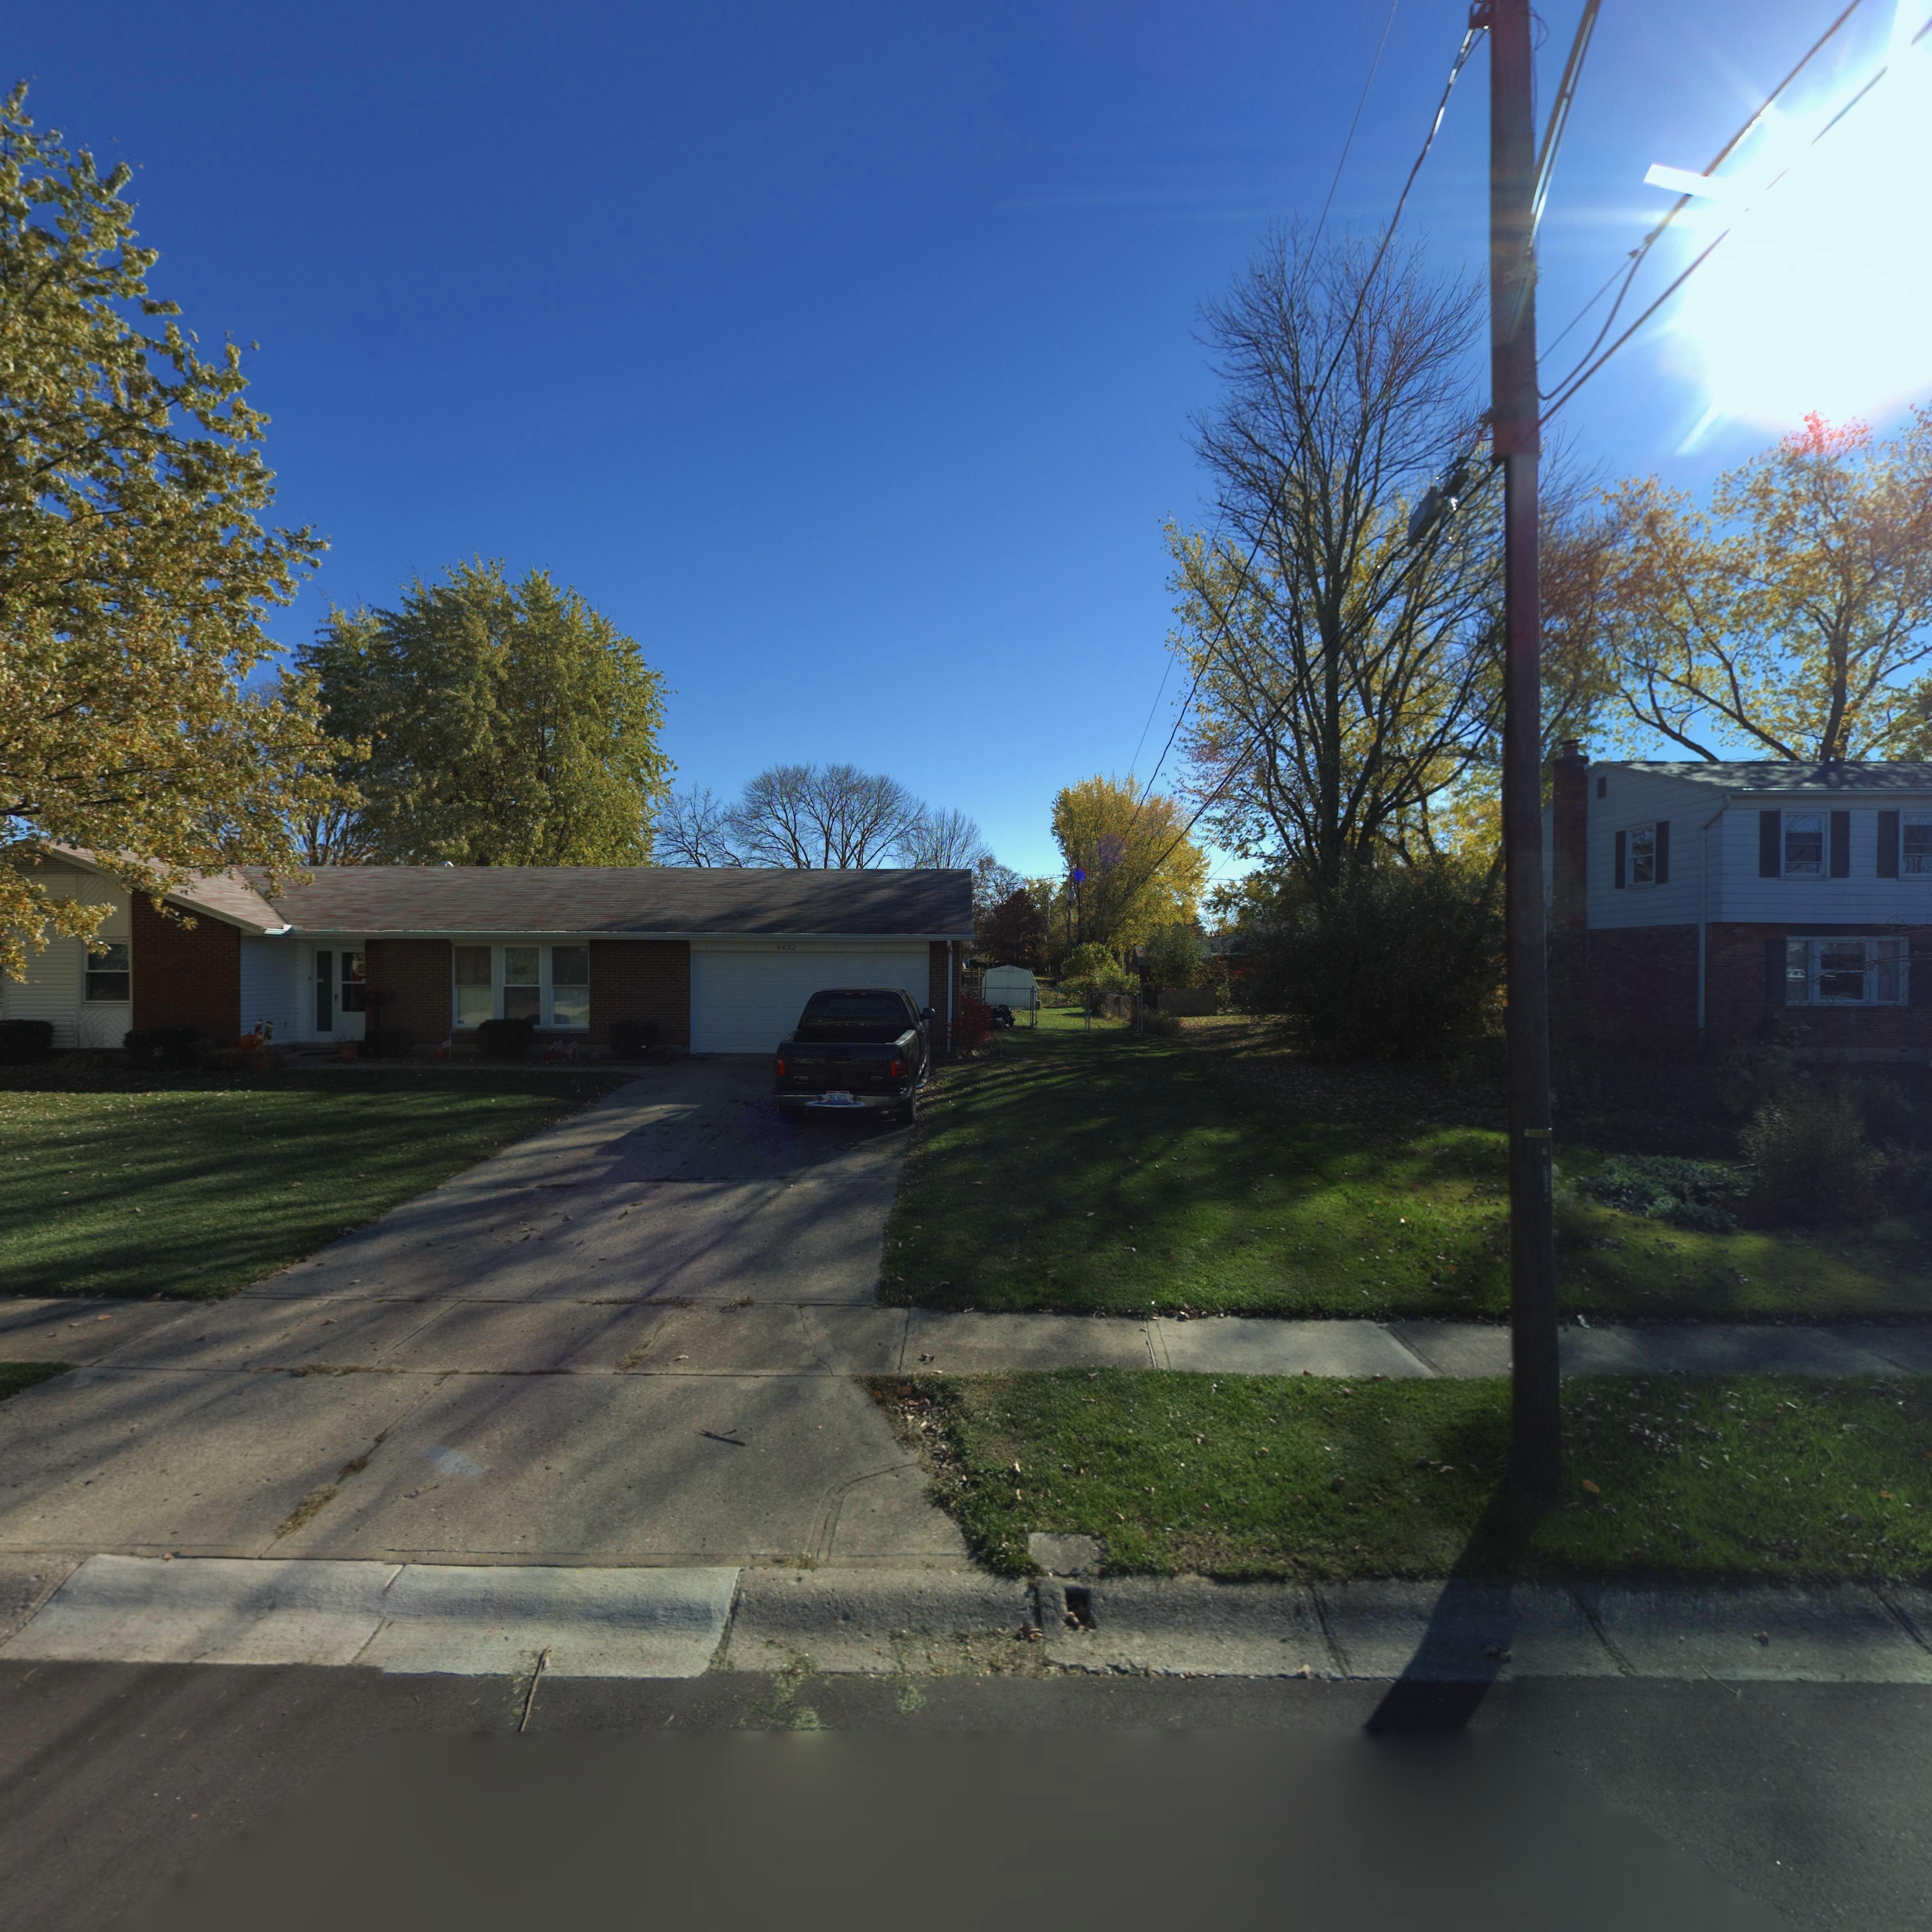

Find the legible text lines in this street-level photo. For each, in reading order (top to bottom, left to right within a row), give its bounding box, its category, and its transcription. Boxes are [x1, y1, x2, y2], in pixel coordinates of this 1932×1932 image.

[775, 944, 797, 951] StreetNumber: 4032
[793, 1075, 799, 1080] None: F
[827, 1093, 848, 1101] None: DNZ*6231